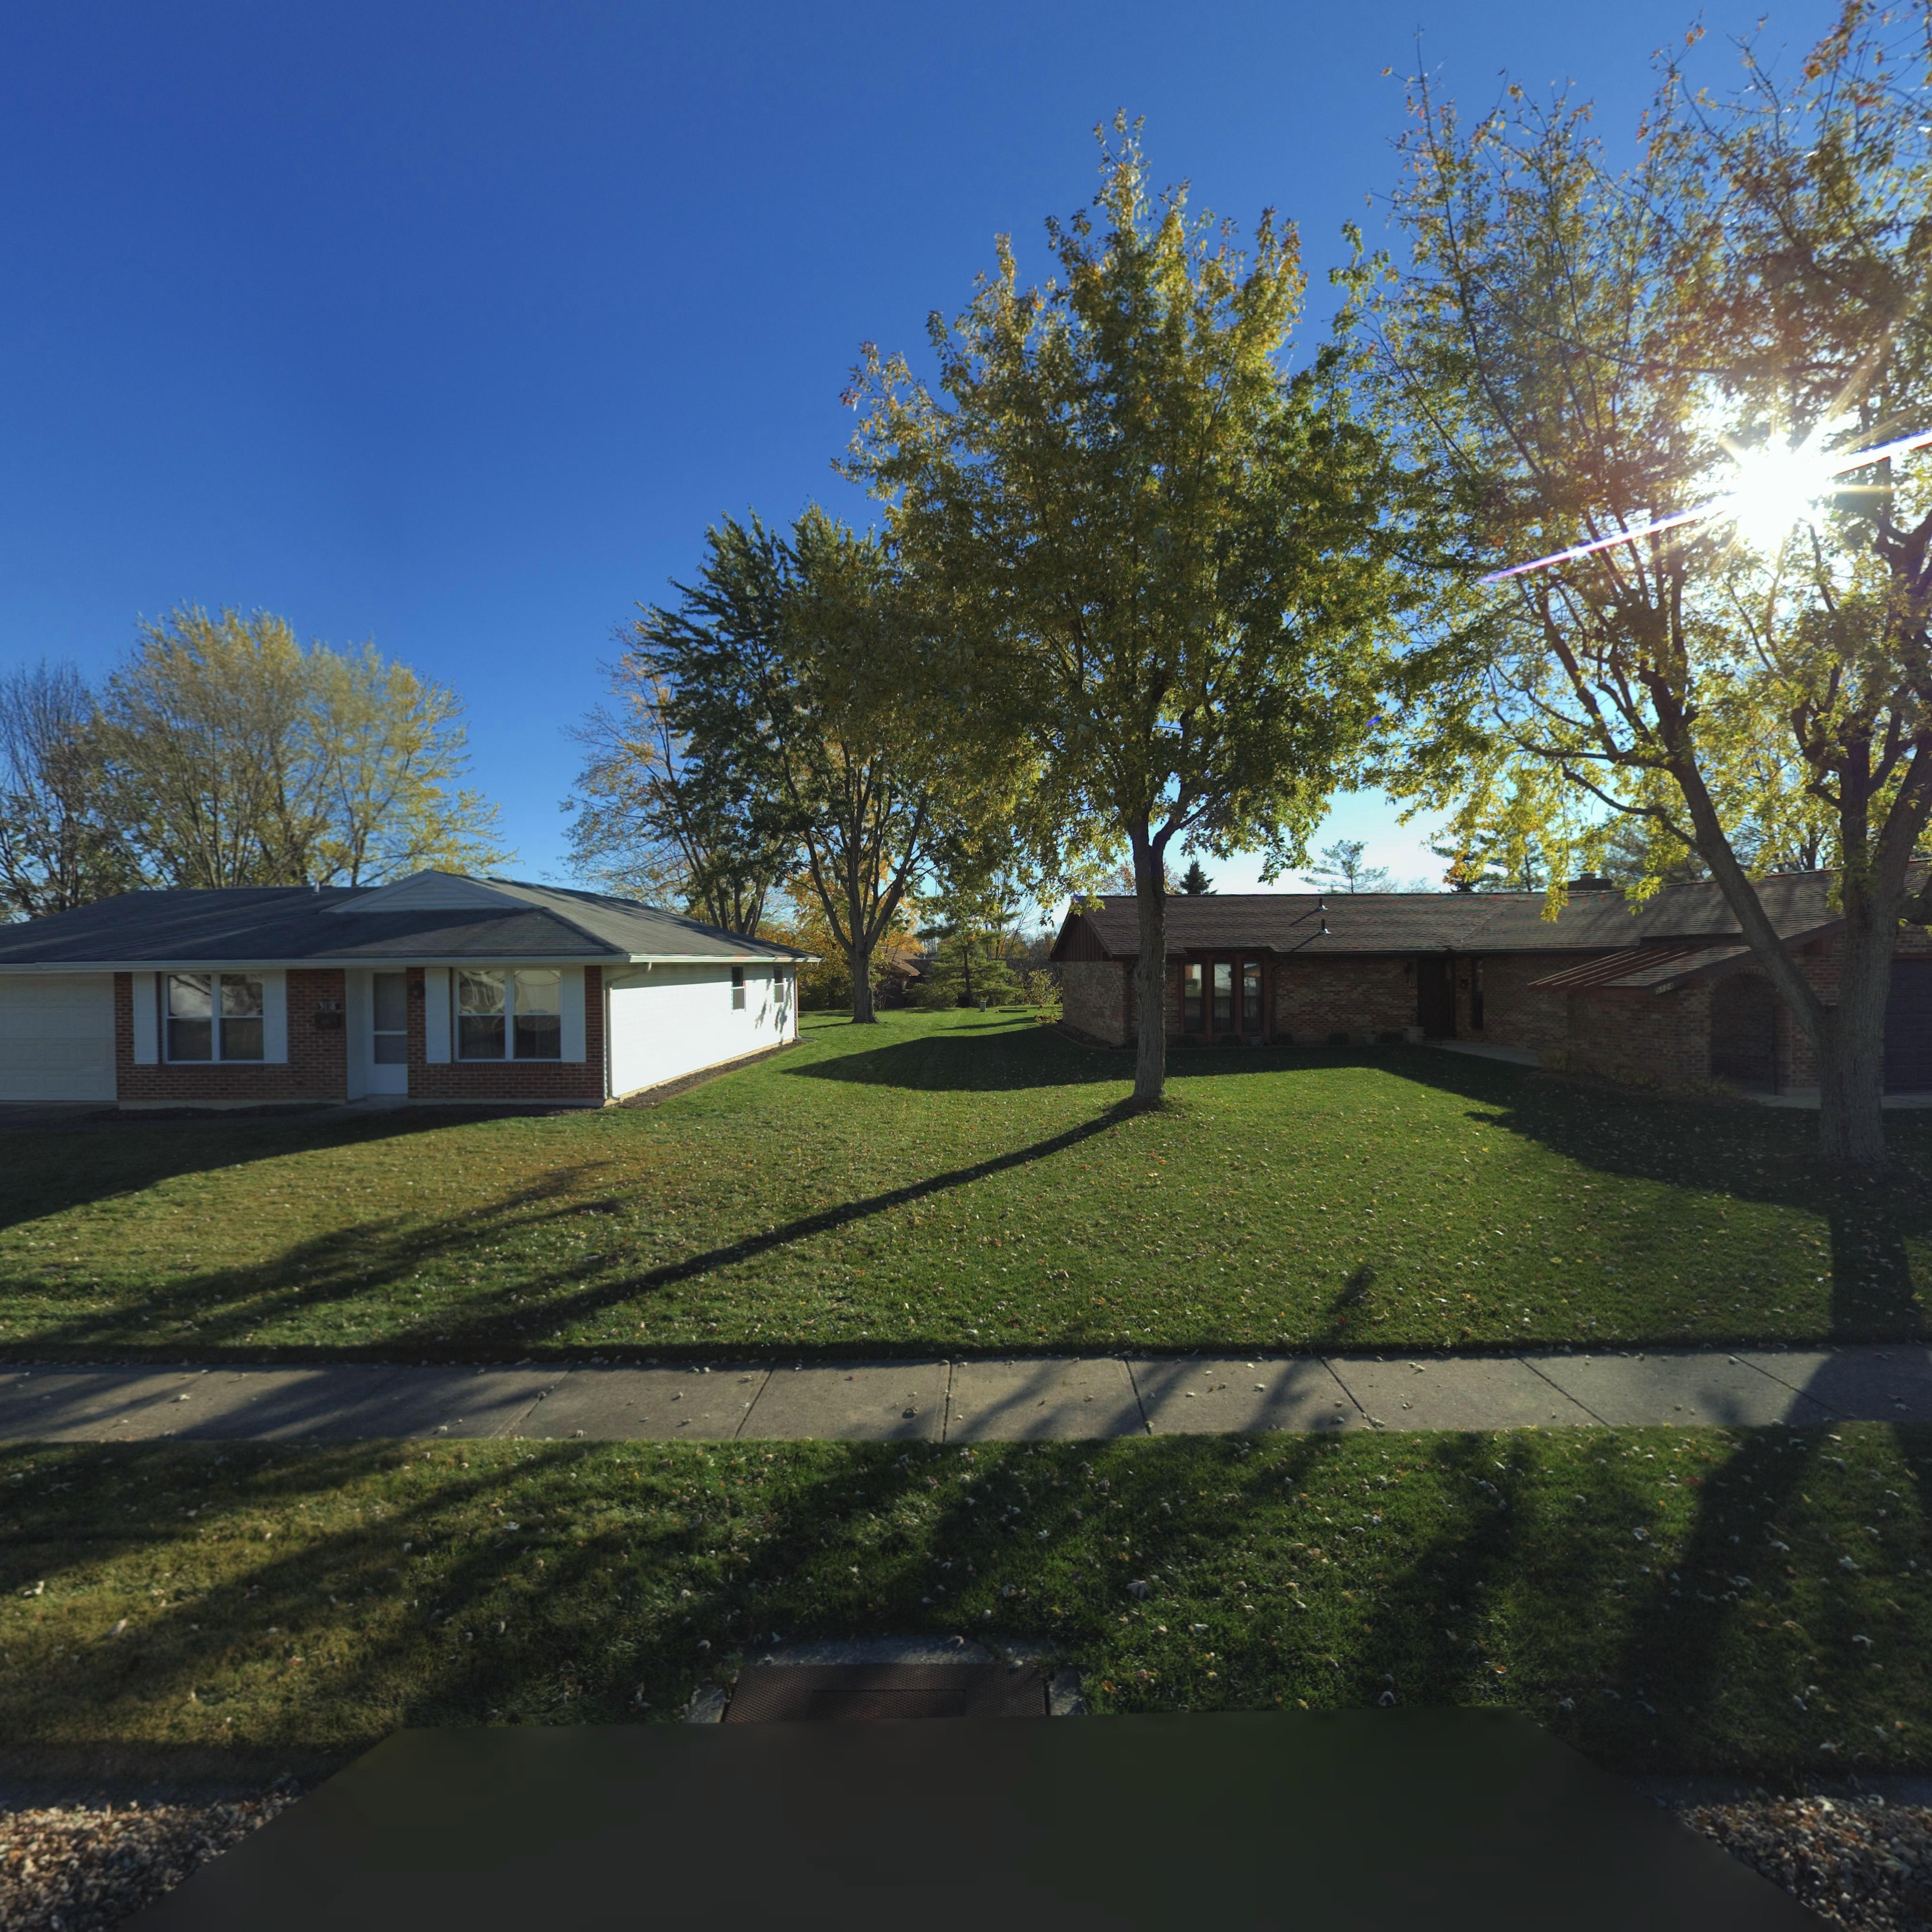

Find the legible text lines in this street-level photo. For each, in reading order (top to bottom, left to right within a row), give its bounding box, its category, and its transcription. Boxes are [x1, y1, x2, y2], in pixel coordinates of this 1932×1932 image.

[1655, 982, 1673, 994] StreetNumber: 5124
[319, 1001, 337, 1010] StreetNumber: 5118